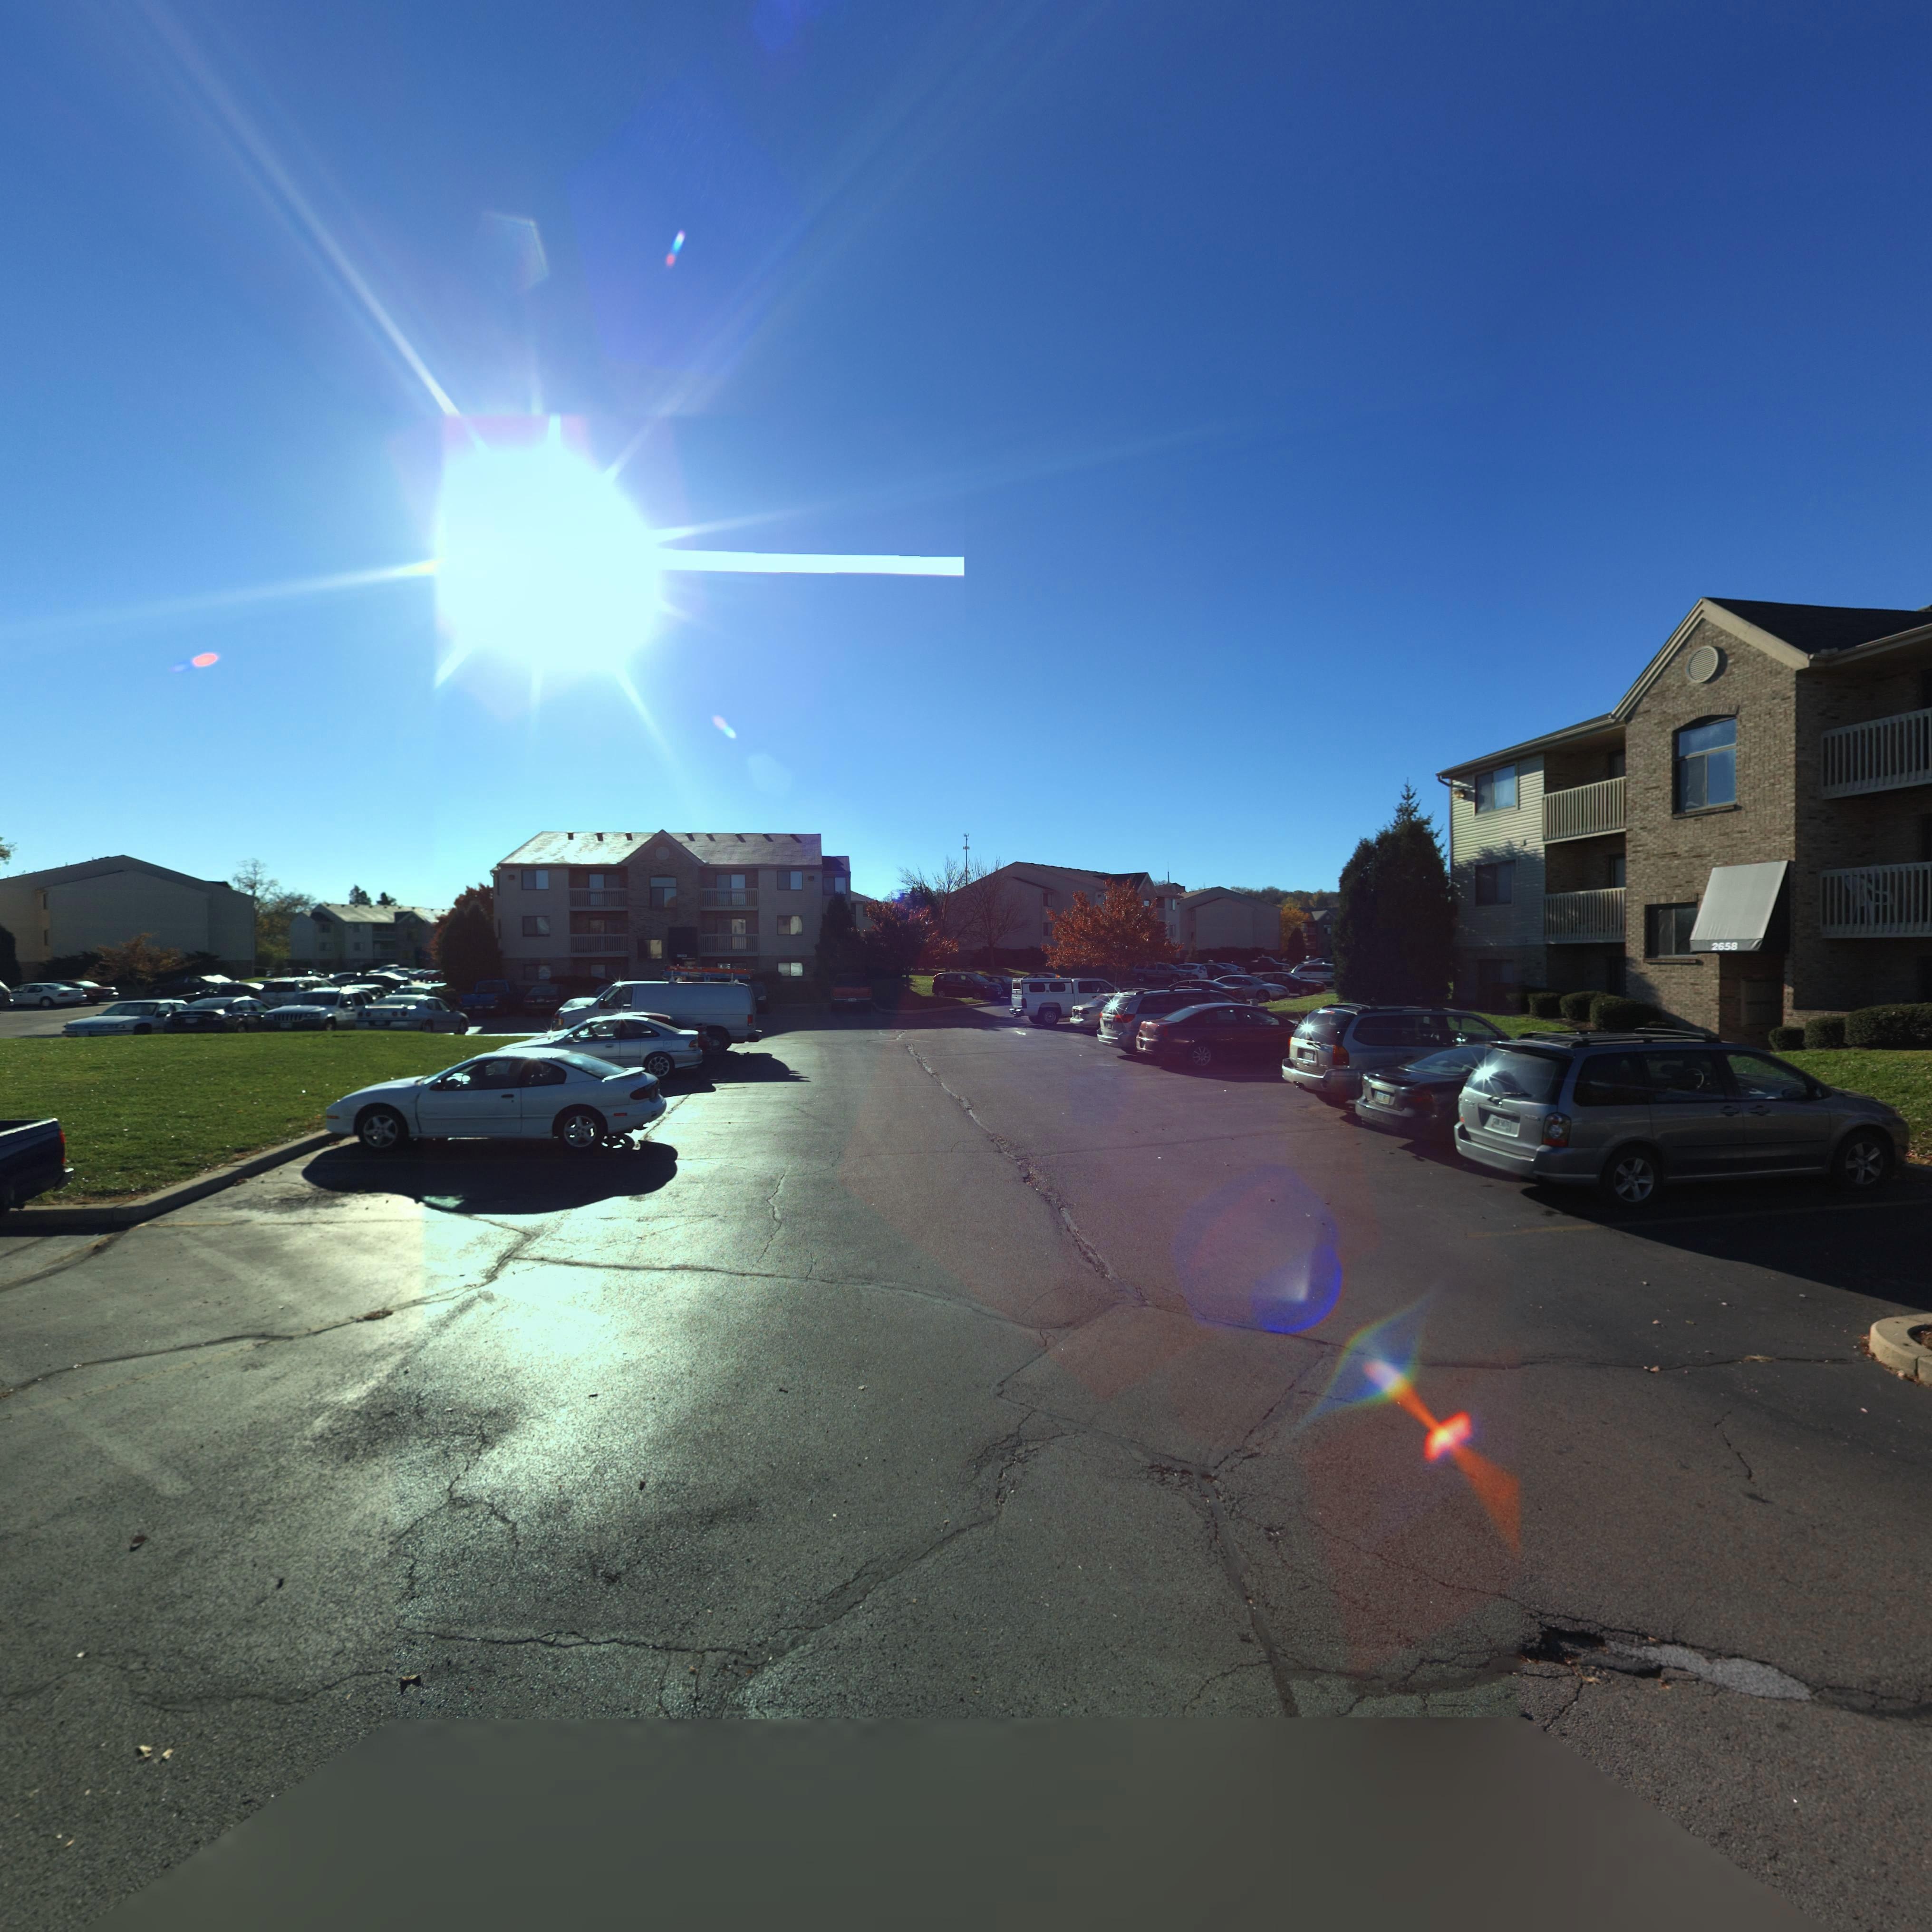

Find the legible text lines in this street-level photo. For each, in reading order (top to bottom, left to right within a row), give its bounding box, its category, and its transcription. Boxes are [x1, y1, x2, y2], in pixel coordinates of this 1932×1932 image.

[1710, 942, 1738, 951] StreetNumber: 2658